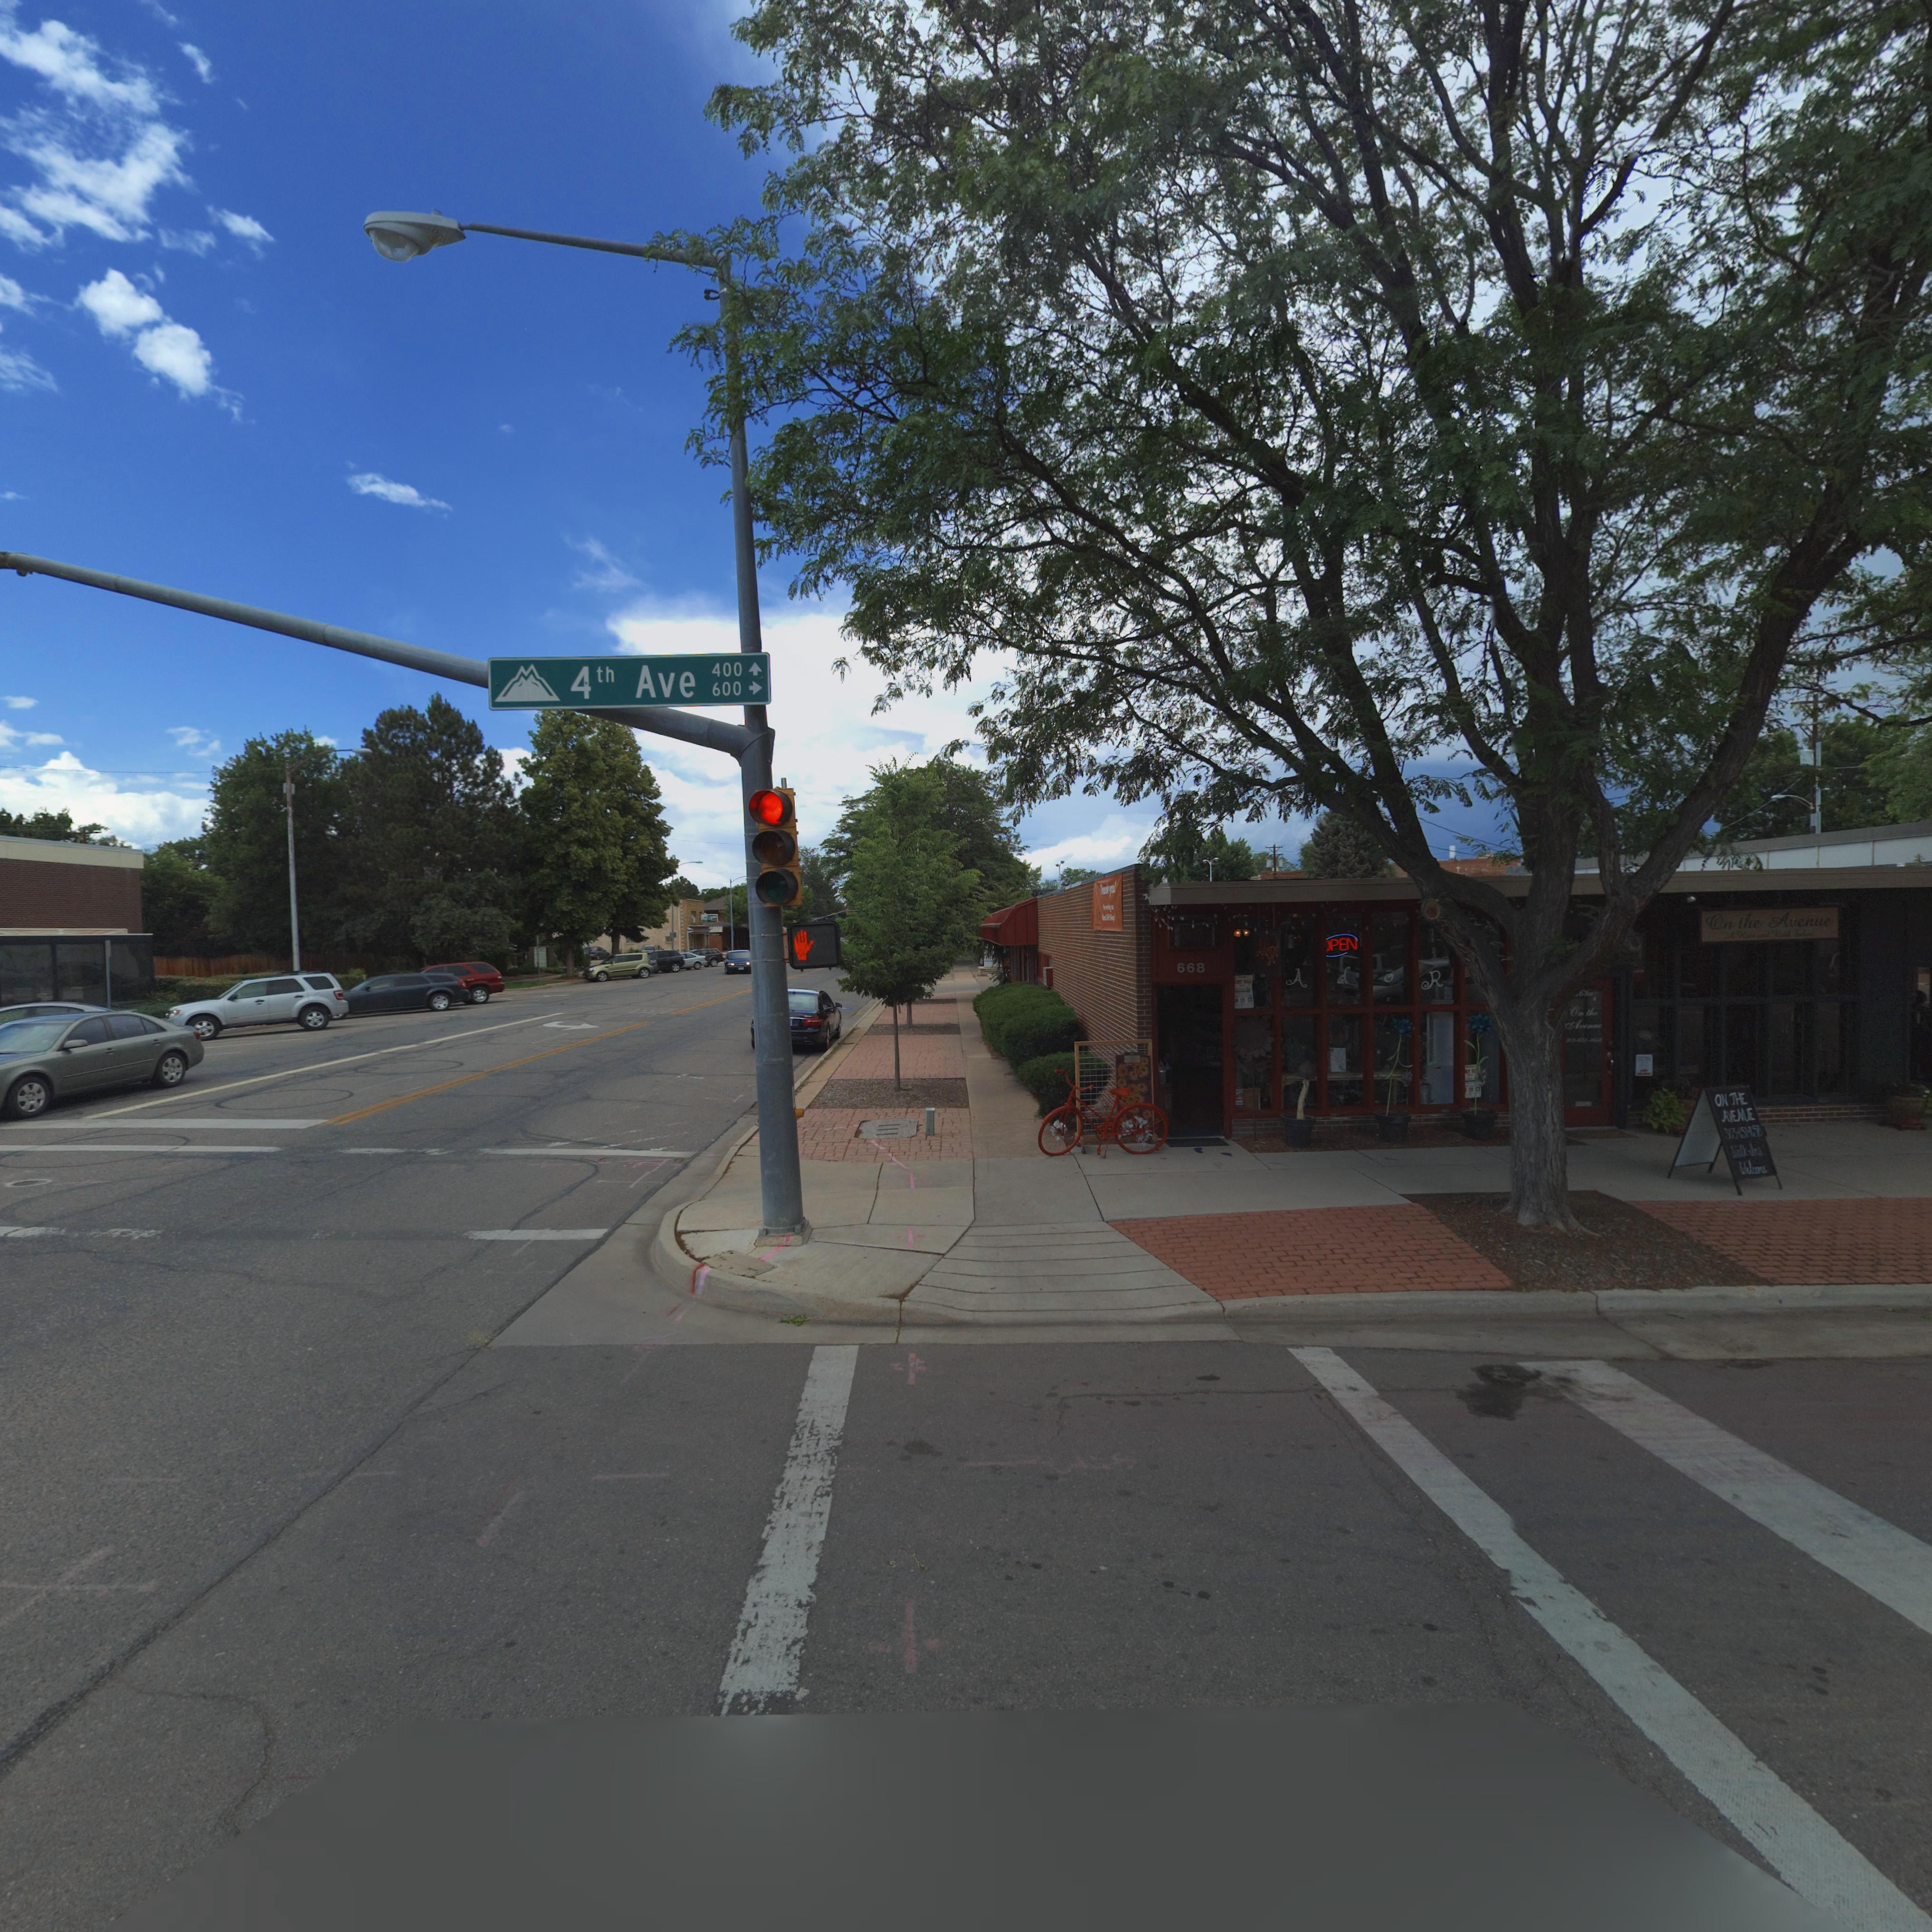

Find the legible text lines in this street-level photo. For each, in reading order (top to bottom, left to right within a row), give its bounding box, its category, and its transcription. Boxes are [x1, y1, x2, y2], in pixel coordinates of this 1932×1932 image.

[711, 662, 742, 677] StreetNumber: 400
[570, 665, 696, 699] StreetName: 4th Ave
[712, 681, 762, 696] None: 600 ->
[1705, 911, 1835, 929] BusinessName: On the Avenue
[1254, 937, 1279, 967] BusinessName: Ad**r**
[1176, 962, 1205, 973] StreetNumber: 668
[1579, 989, 1589, 996] StreetNumber: 68
[1588, 992, 1593, 996] StreetNumber: a
[1569, 1007, 1599, 1017] BusinessName: On the
[1565, 1019, 1602, 1029] BusinessName: A****
[1714, 1091, 1748, 1107] BusinessName: ON THE
[1721, 1108, 1755, 1122] BusinessName: AVENUE